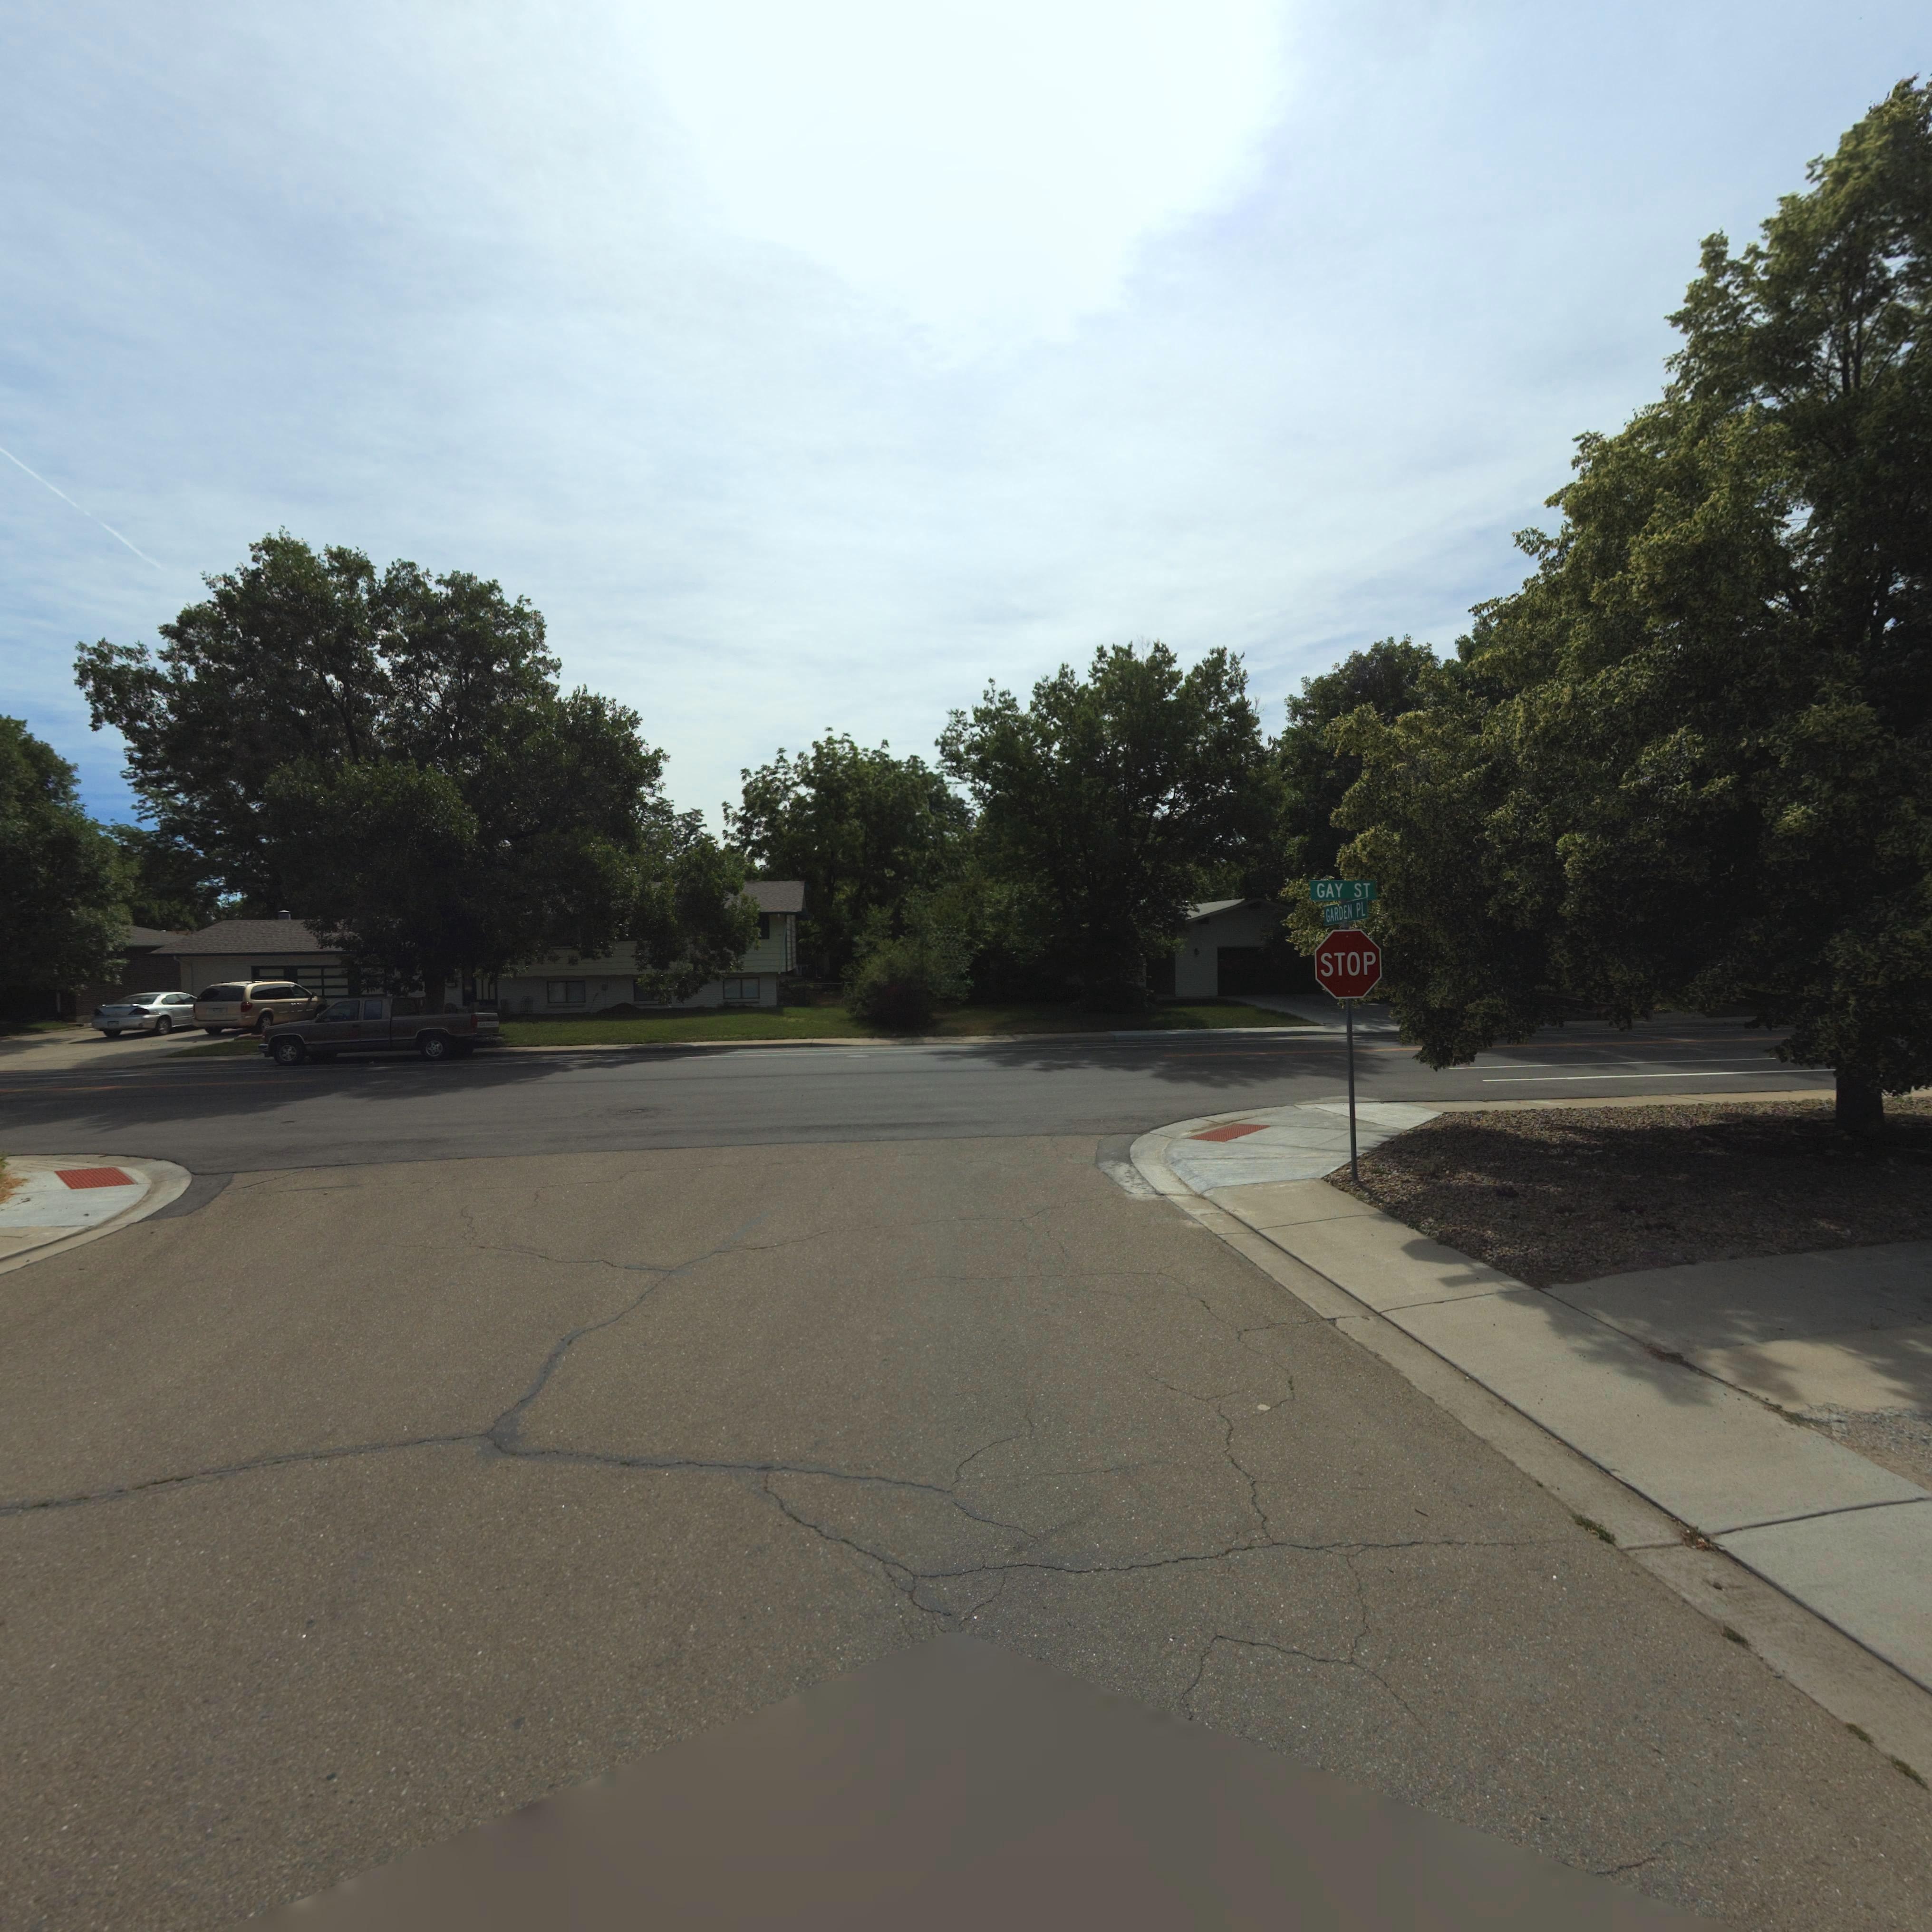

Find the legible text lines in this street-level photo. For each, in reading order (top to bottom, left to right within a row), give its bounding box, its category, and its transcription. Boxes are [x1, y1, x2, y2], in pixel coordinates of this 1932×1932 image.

[1316, 883, 1371, 898] StreetName: GAY ST
[1325, 901, 1366, 922] StreetName: GARDEN PL